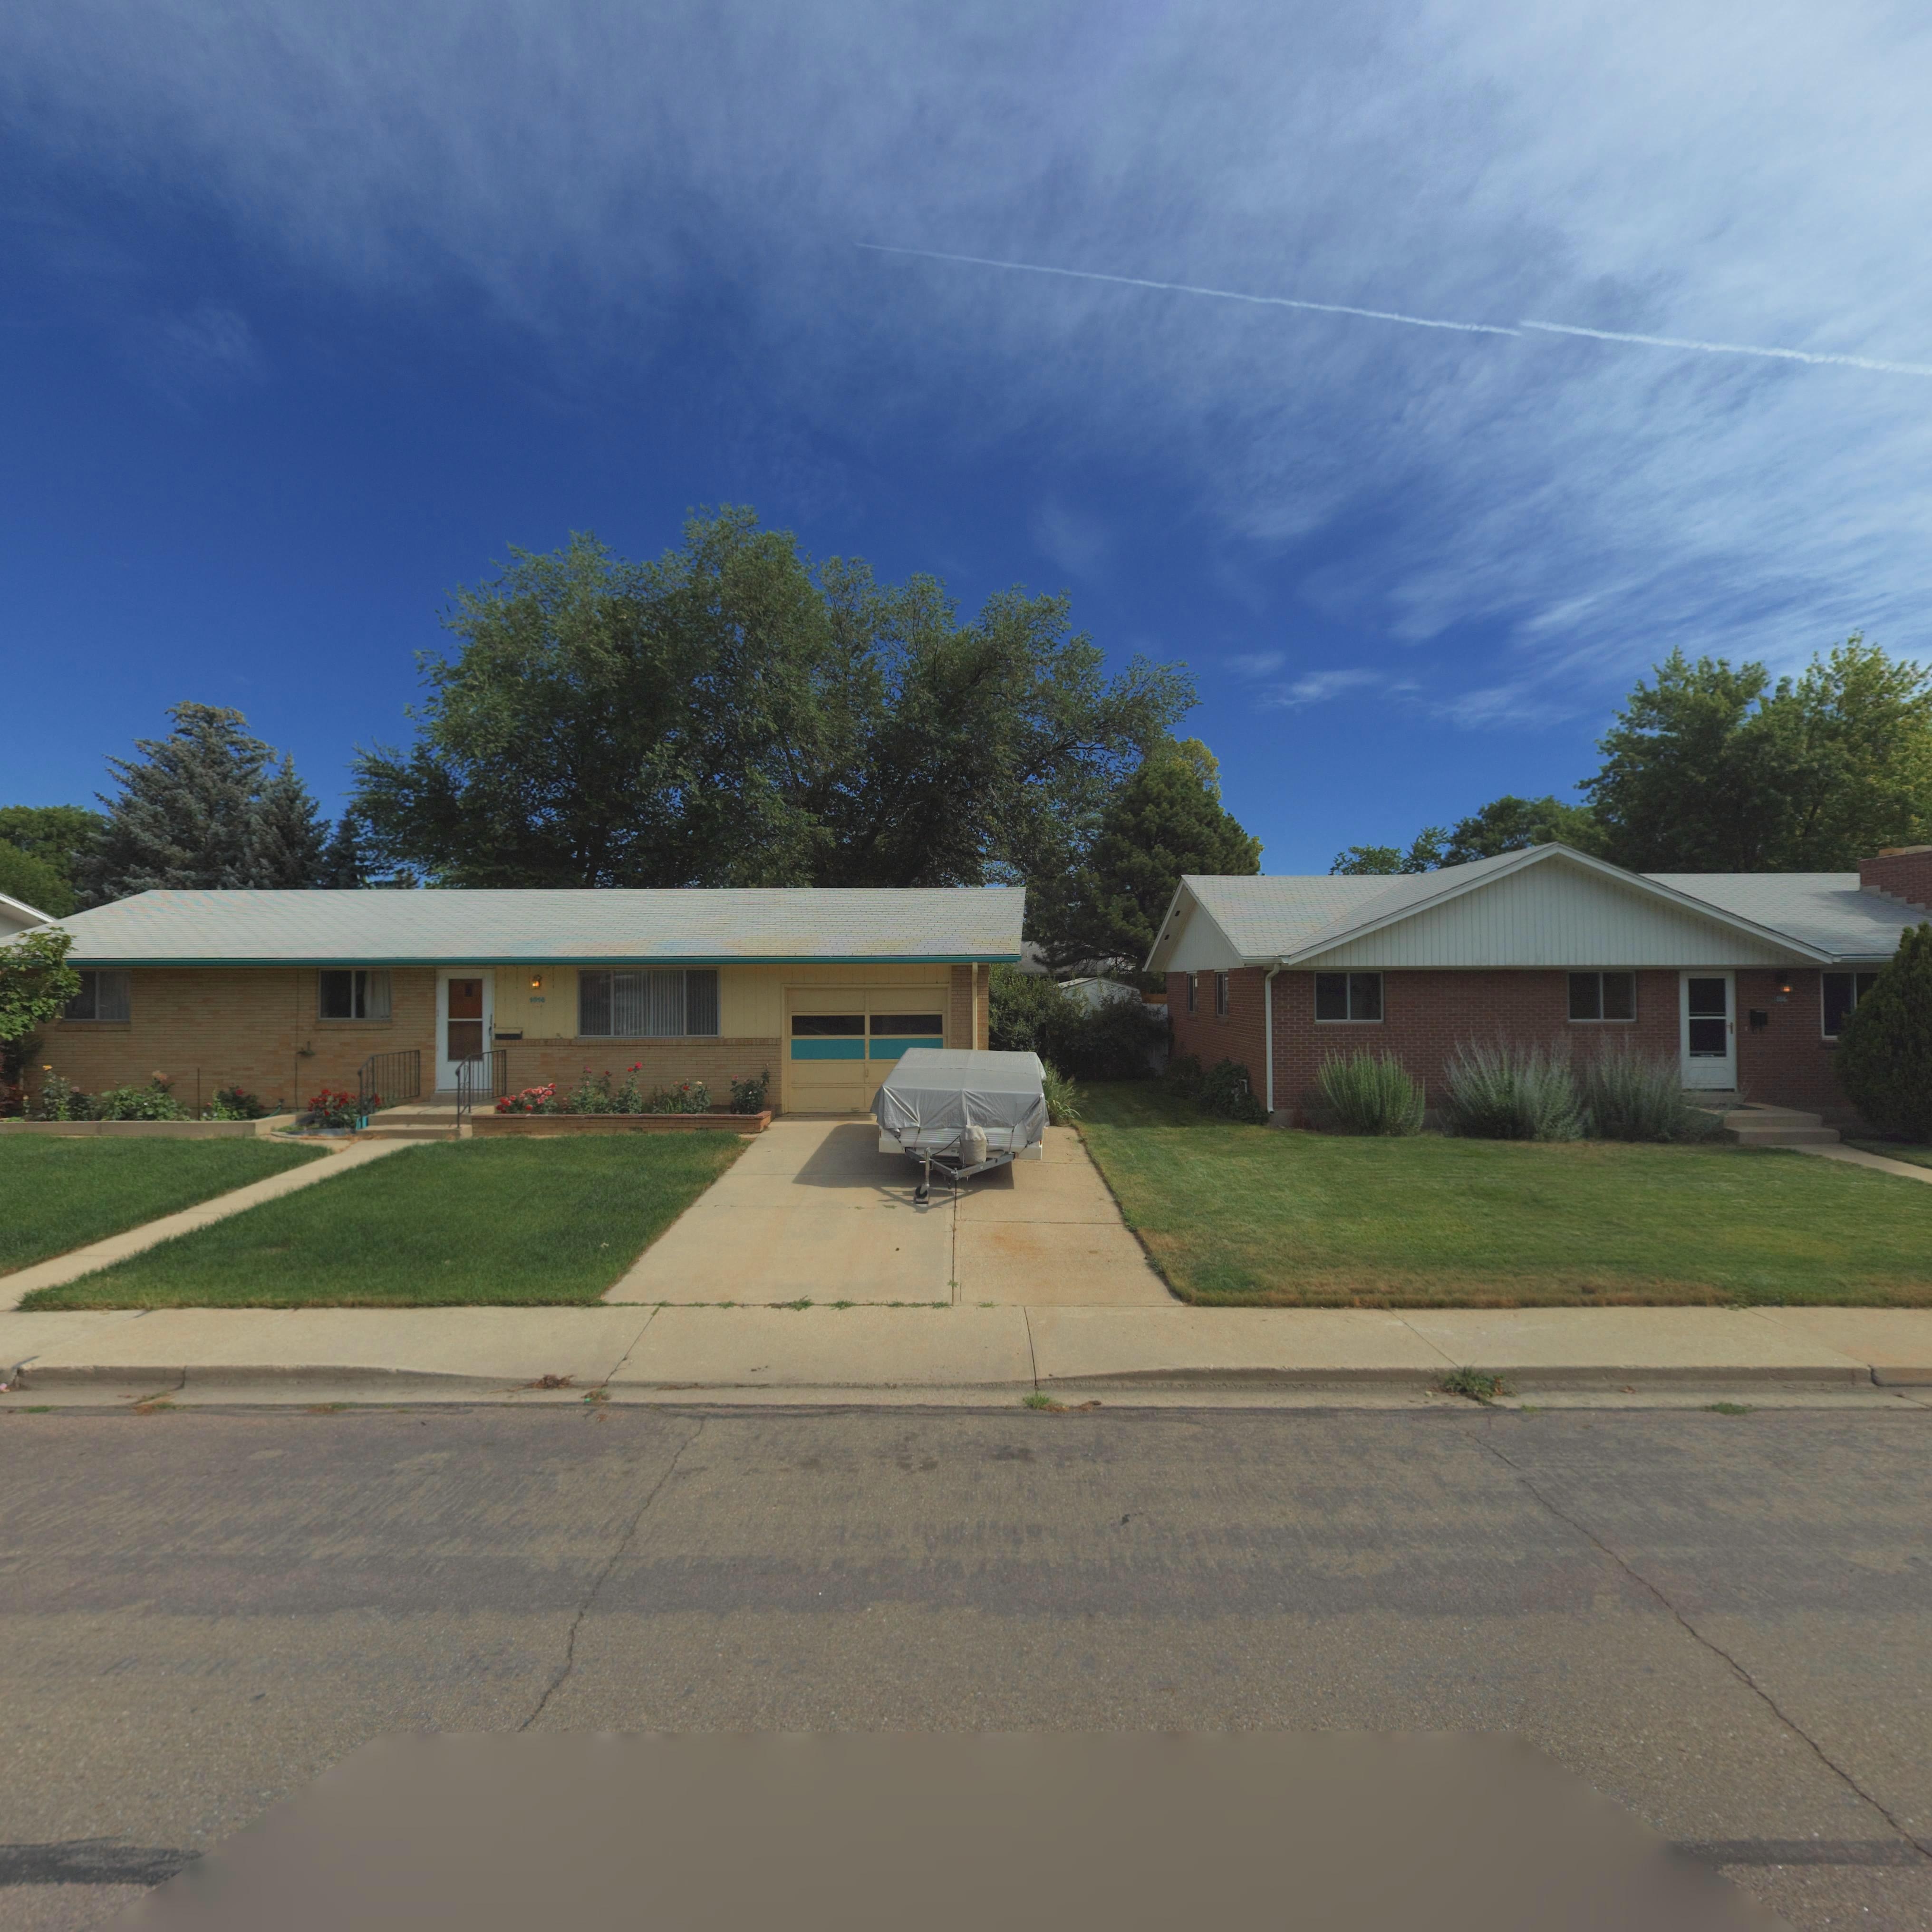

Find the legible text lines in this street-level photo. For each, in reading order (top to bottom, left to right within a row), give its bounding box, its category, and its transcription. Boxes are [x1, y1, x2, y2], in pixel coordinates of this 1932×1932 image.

[528, 996, 546, 1003] StreetNumber: 1016
[1773, 996, 1787, 1002] StreetNumber: 10**